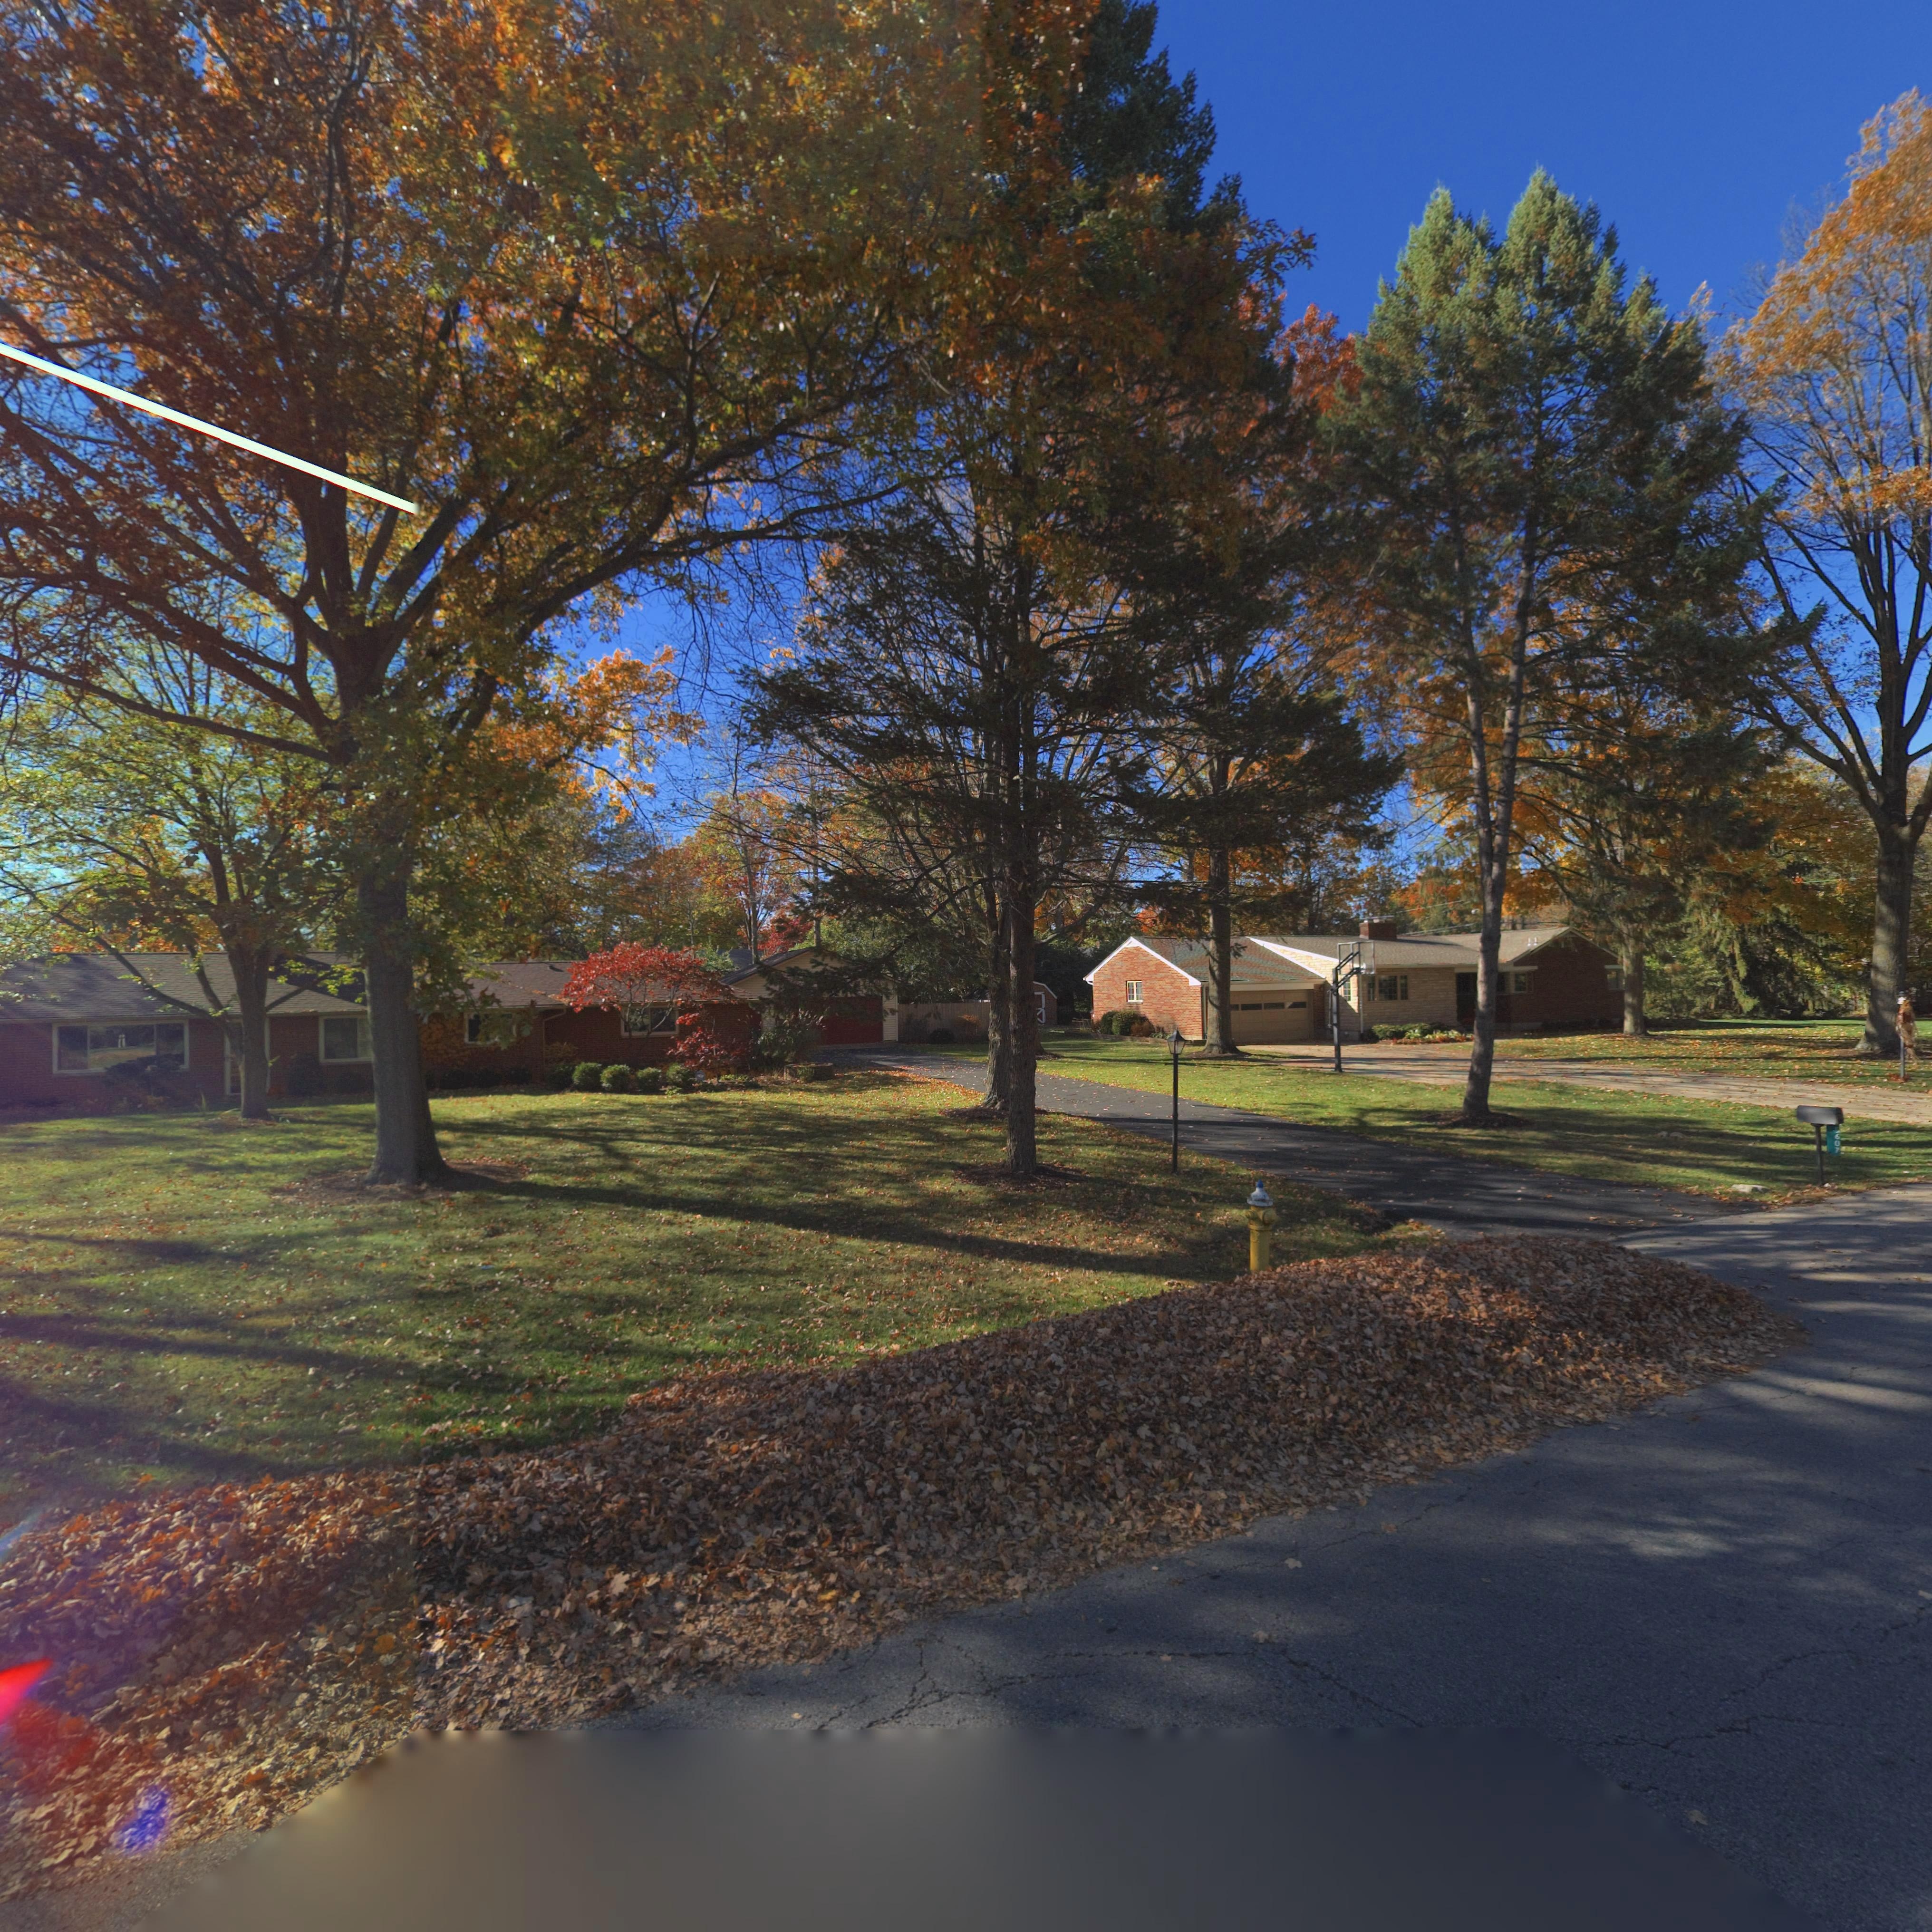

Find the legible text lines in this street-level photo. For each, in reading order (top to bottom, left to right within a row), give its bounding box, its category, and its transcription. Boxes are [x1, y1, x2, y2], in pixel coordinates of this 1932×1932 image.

[1834, 1125, 1840, 1154] StreetNumber: 5607